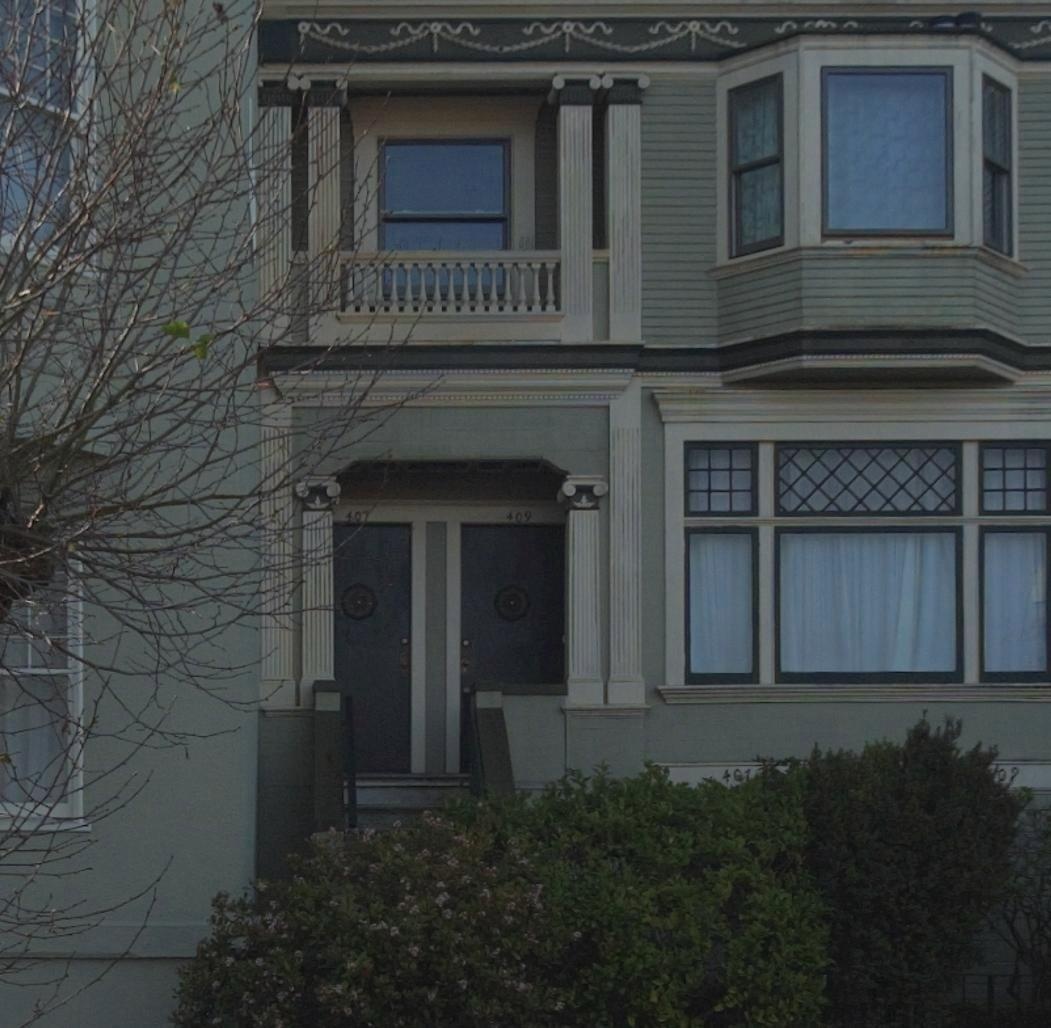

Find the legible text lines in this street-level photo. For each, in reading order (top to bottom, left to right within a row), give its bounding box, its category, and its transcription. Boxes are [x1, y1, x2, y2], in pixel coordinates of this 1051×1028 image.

[343, 508, 372, 524] StreetNumber: 407
[504, 509, 534, 525] StreetNumber: 409